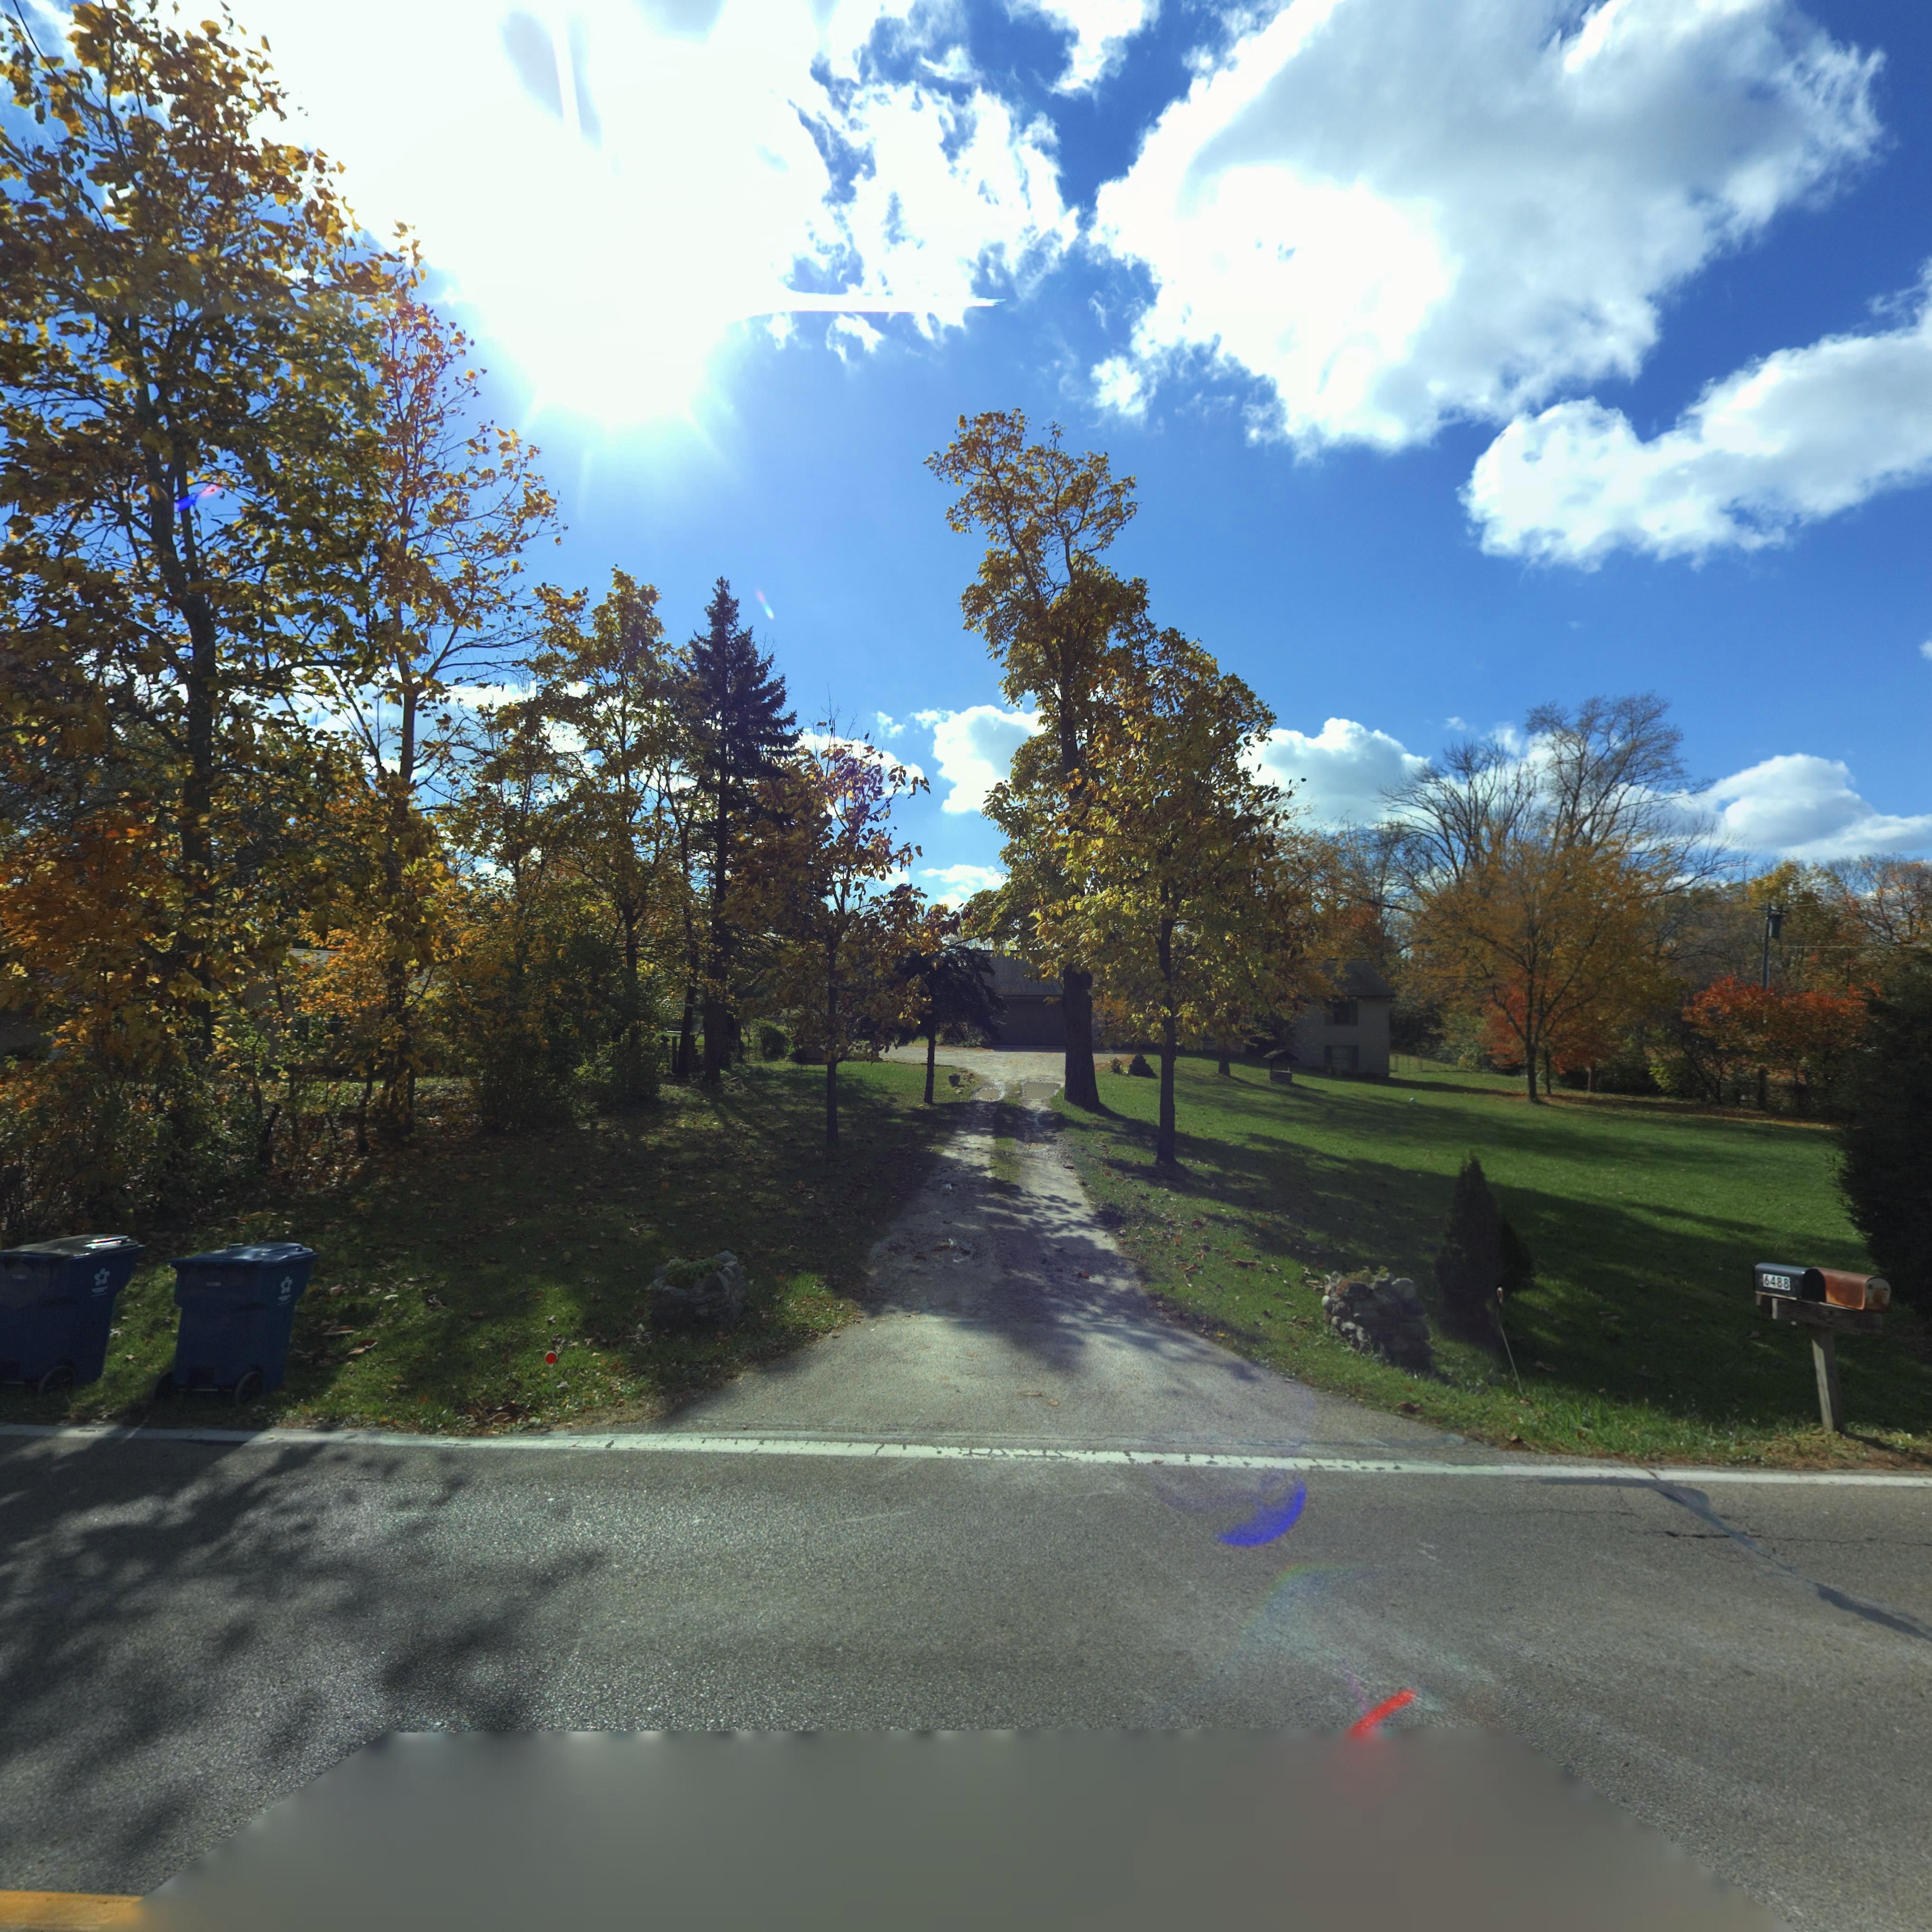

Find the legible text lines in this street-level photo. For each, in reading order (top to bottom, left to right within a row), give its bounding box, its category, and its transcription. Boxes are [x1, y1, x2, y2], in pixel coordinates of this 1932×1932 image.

[1764, 1274, 1789, 1290] StreetNumber: 6488